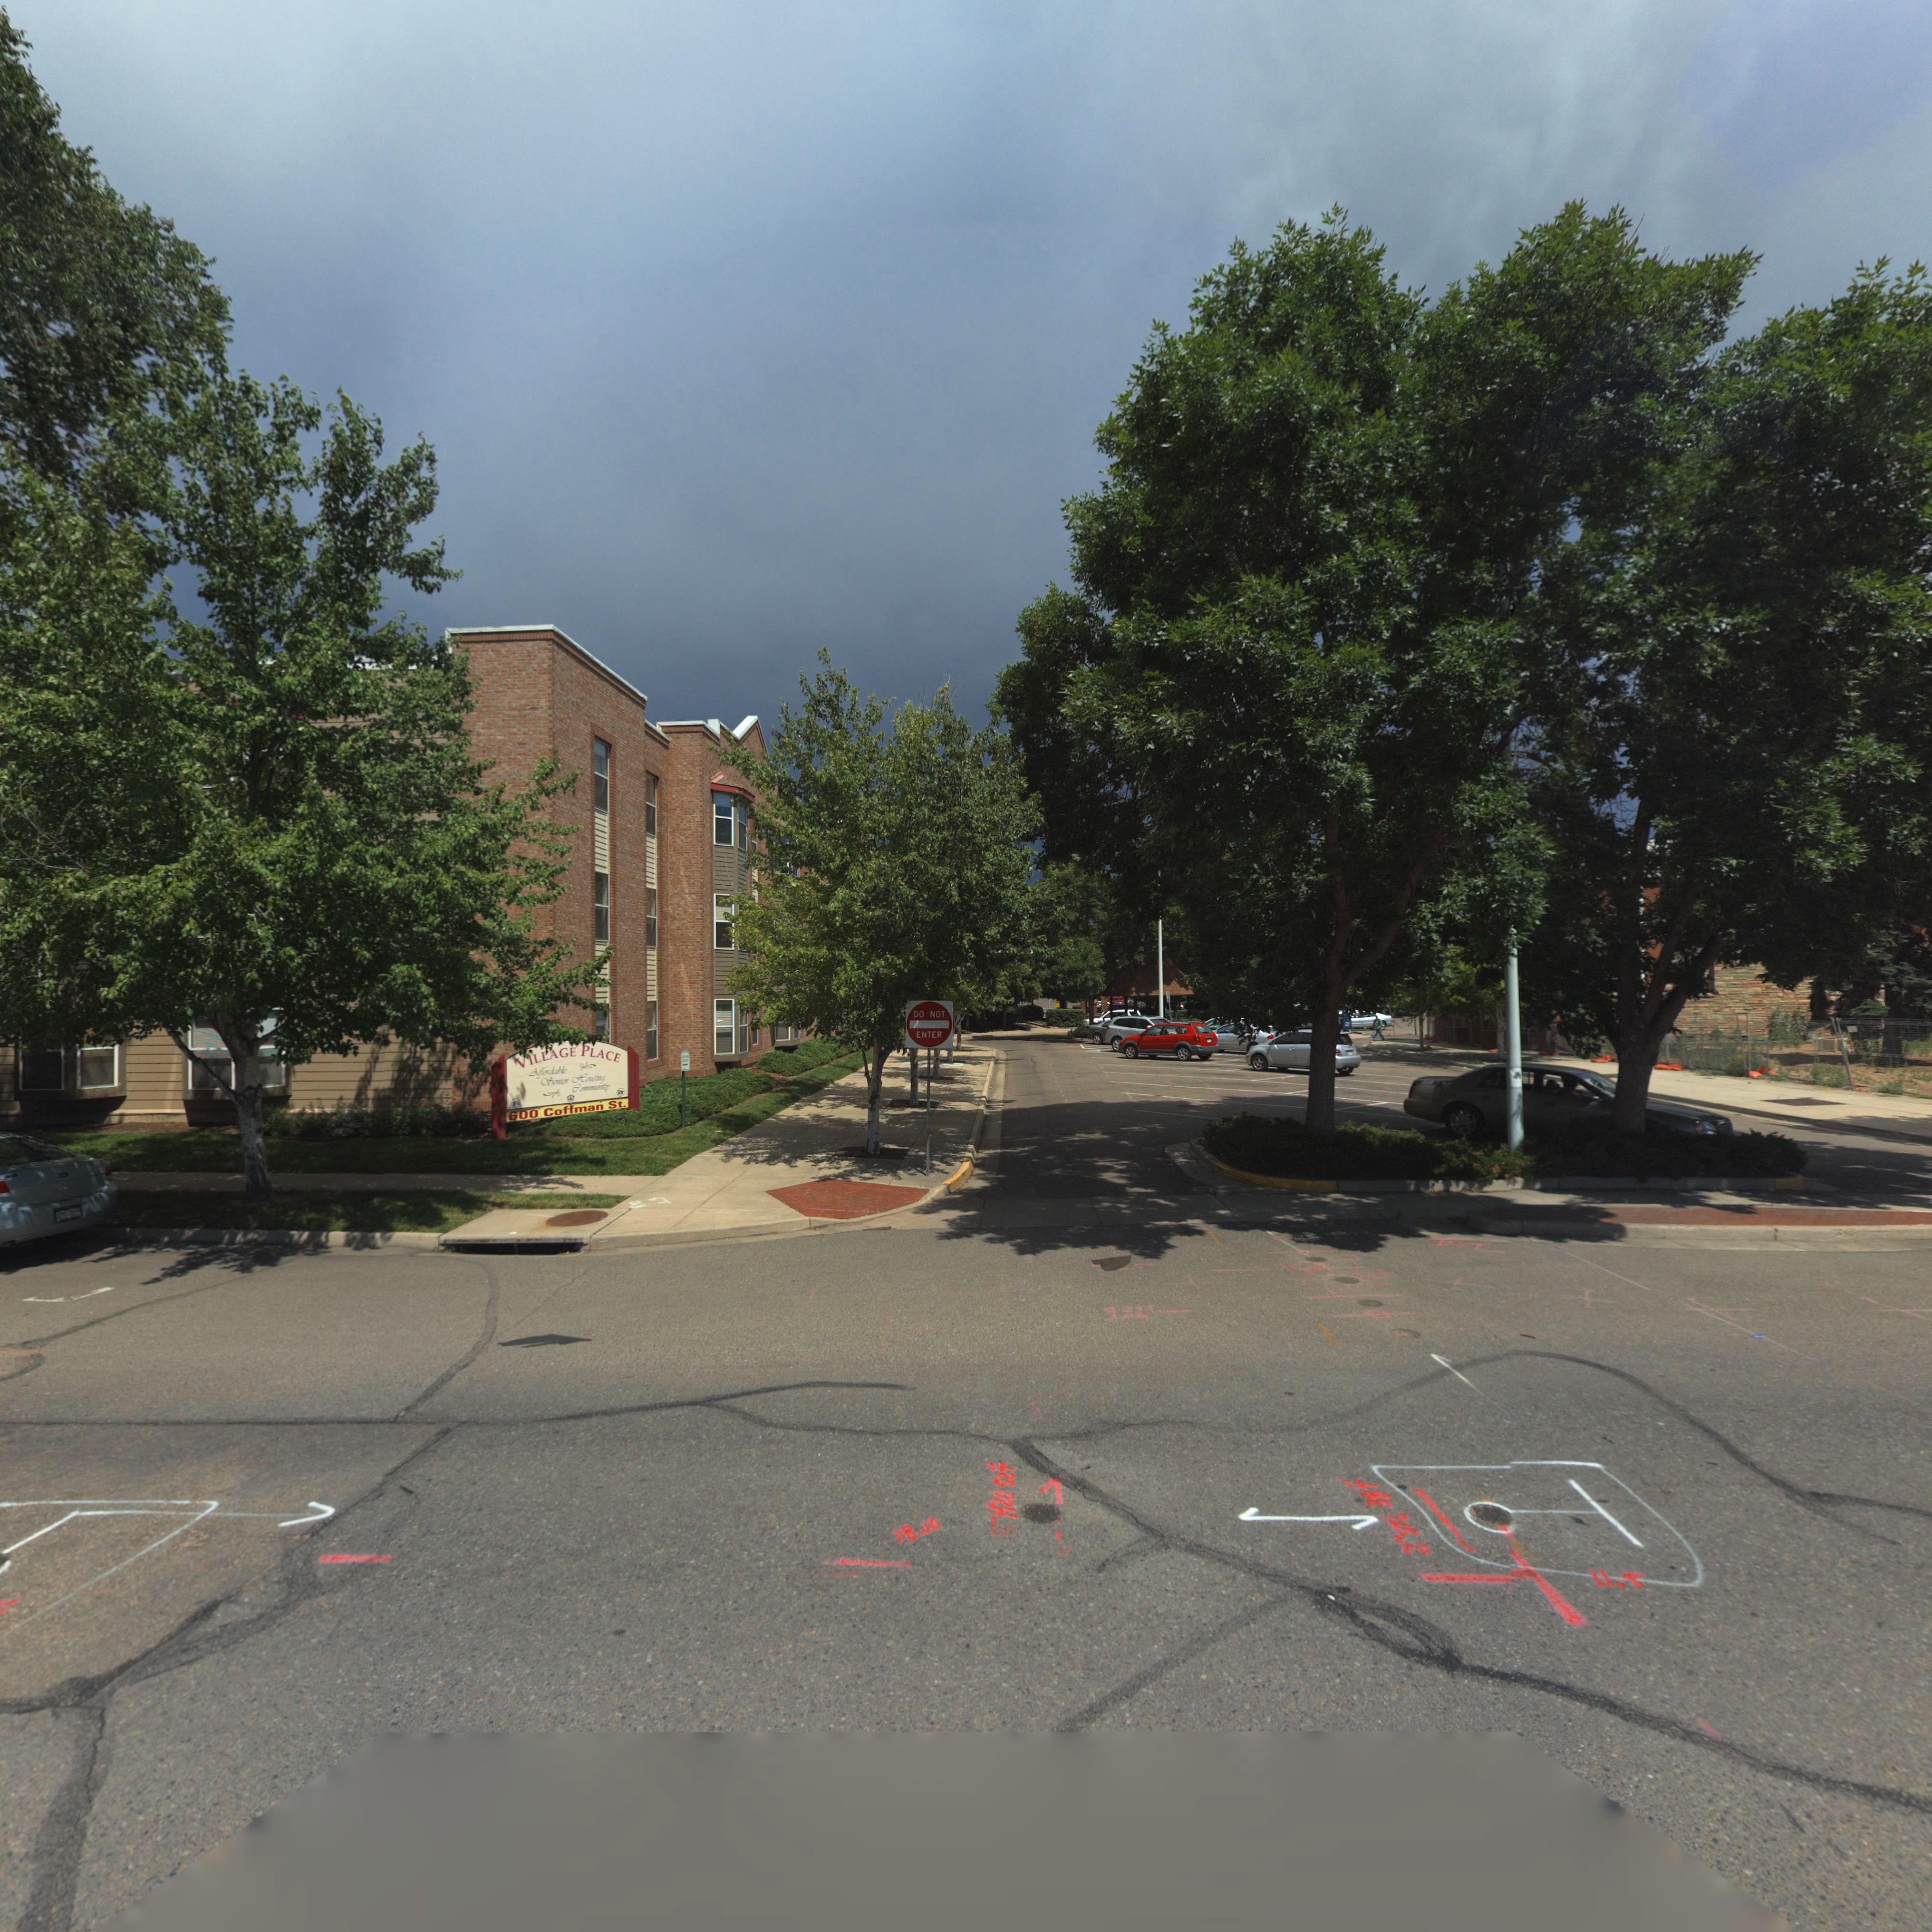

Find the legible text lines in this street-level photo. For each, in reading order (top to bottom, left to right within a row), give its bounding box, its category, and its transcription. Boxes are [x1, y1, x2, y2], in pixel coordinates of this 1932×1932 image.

[513, 1044, 622, 1069] BusinessName: VILLAGE PLACE
[508, 1109, 539, 1121] StreetNumber: 600
[543, 1100, 627, 1117] StreetName: Coffman St.